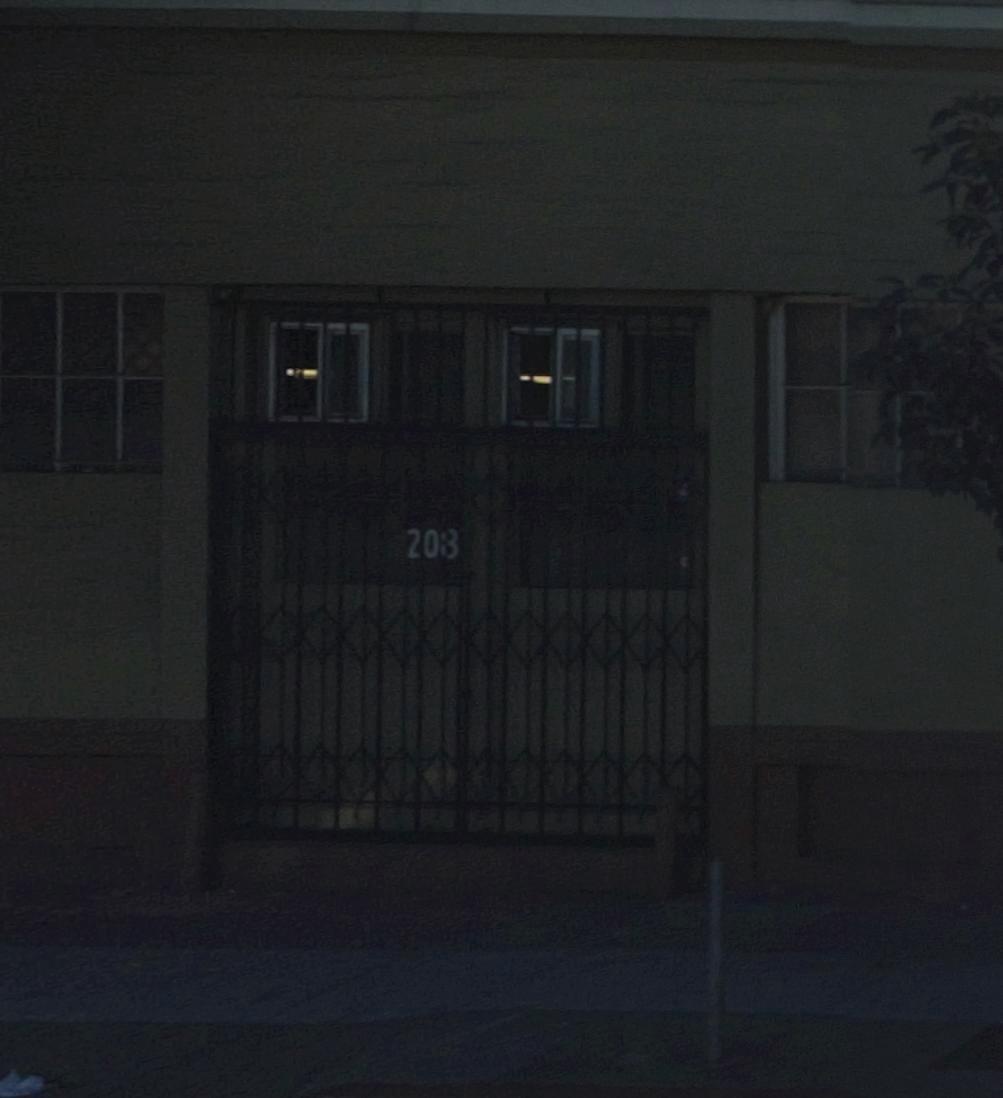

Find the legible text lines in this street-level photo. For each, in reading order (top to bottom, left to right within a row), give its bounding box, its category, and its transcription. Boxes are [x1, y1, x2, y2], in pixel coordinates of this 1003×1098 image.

[404, 526, 461, 561] StreetNumber: 20*